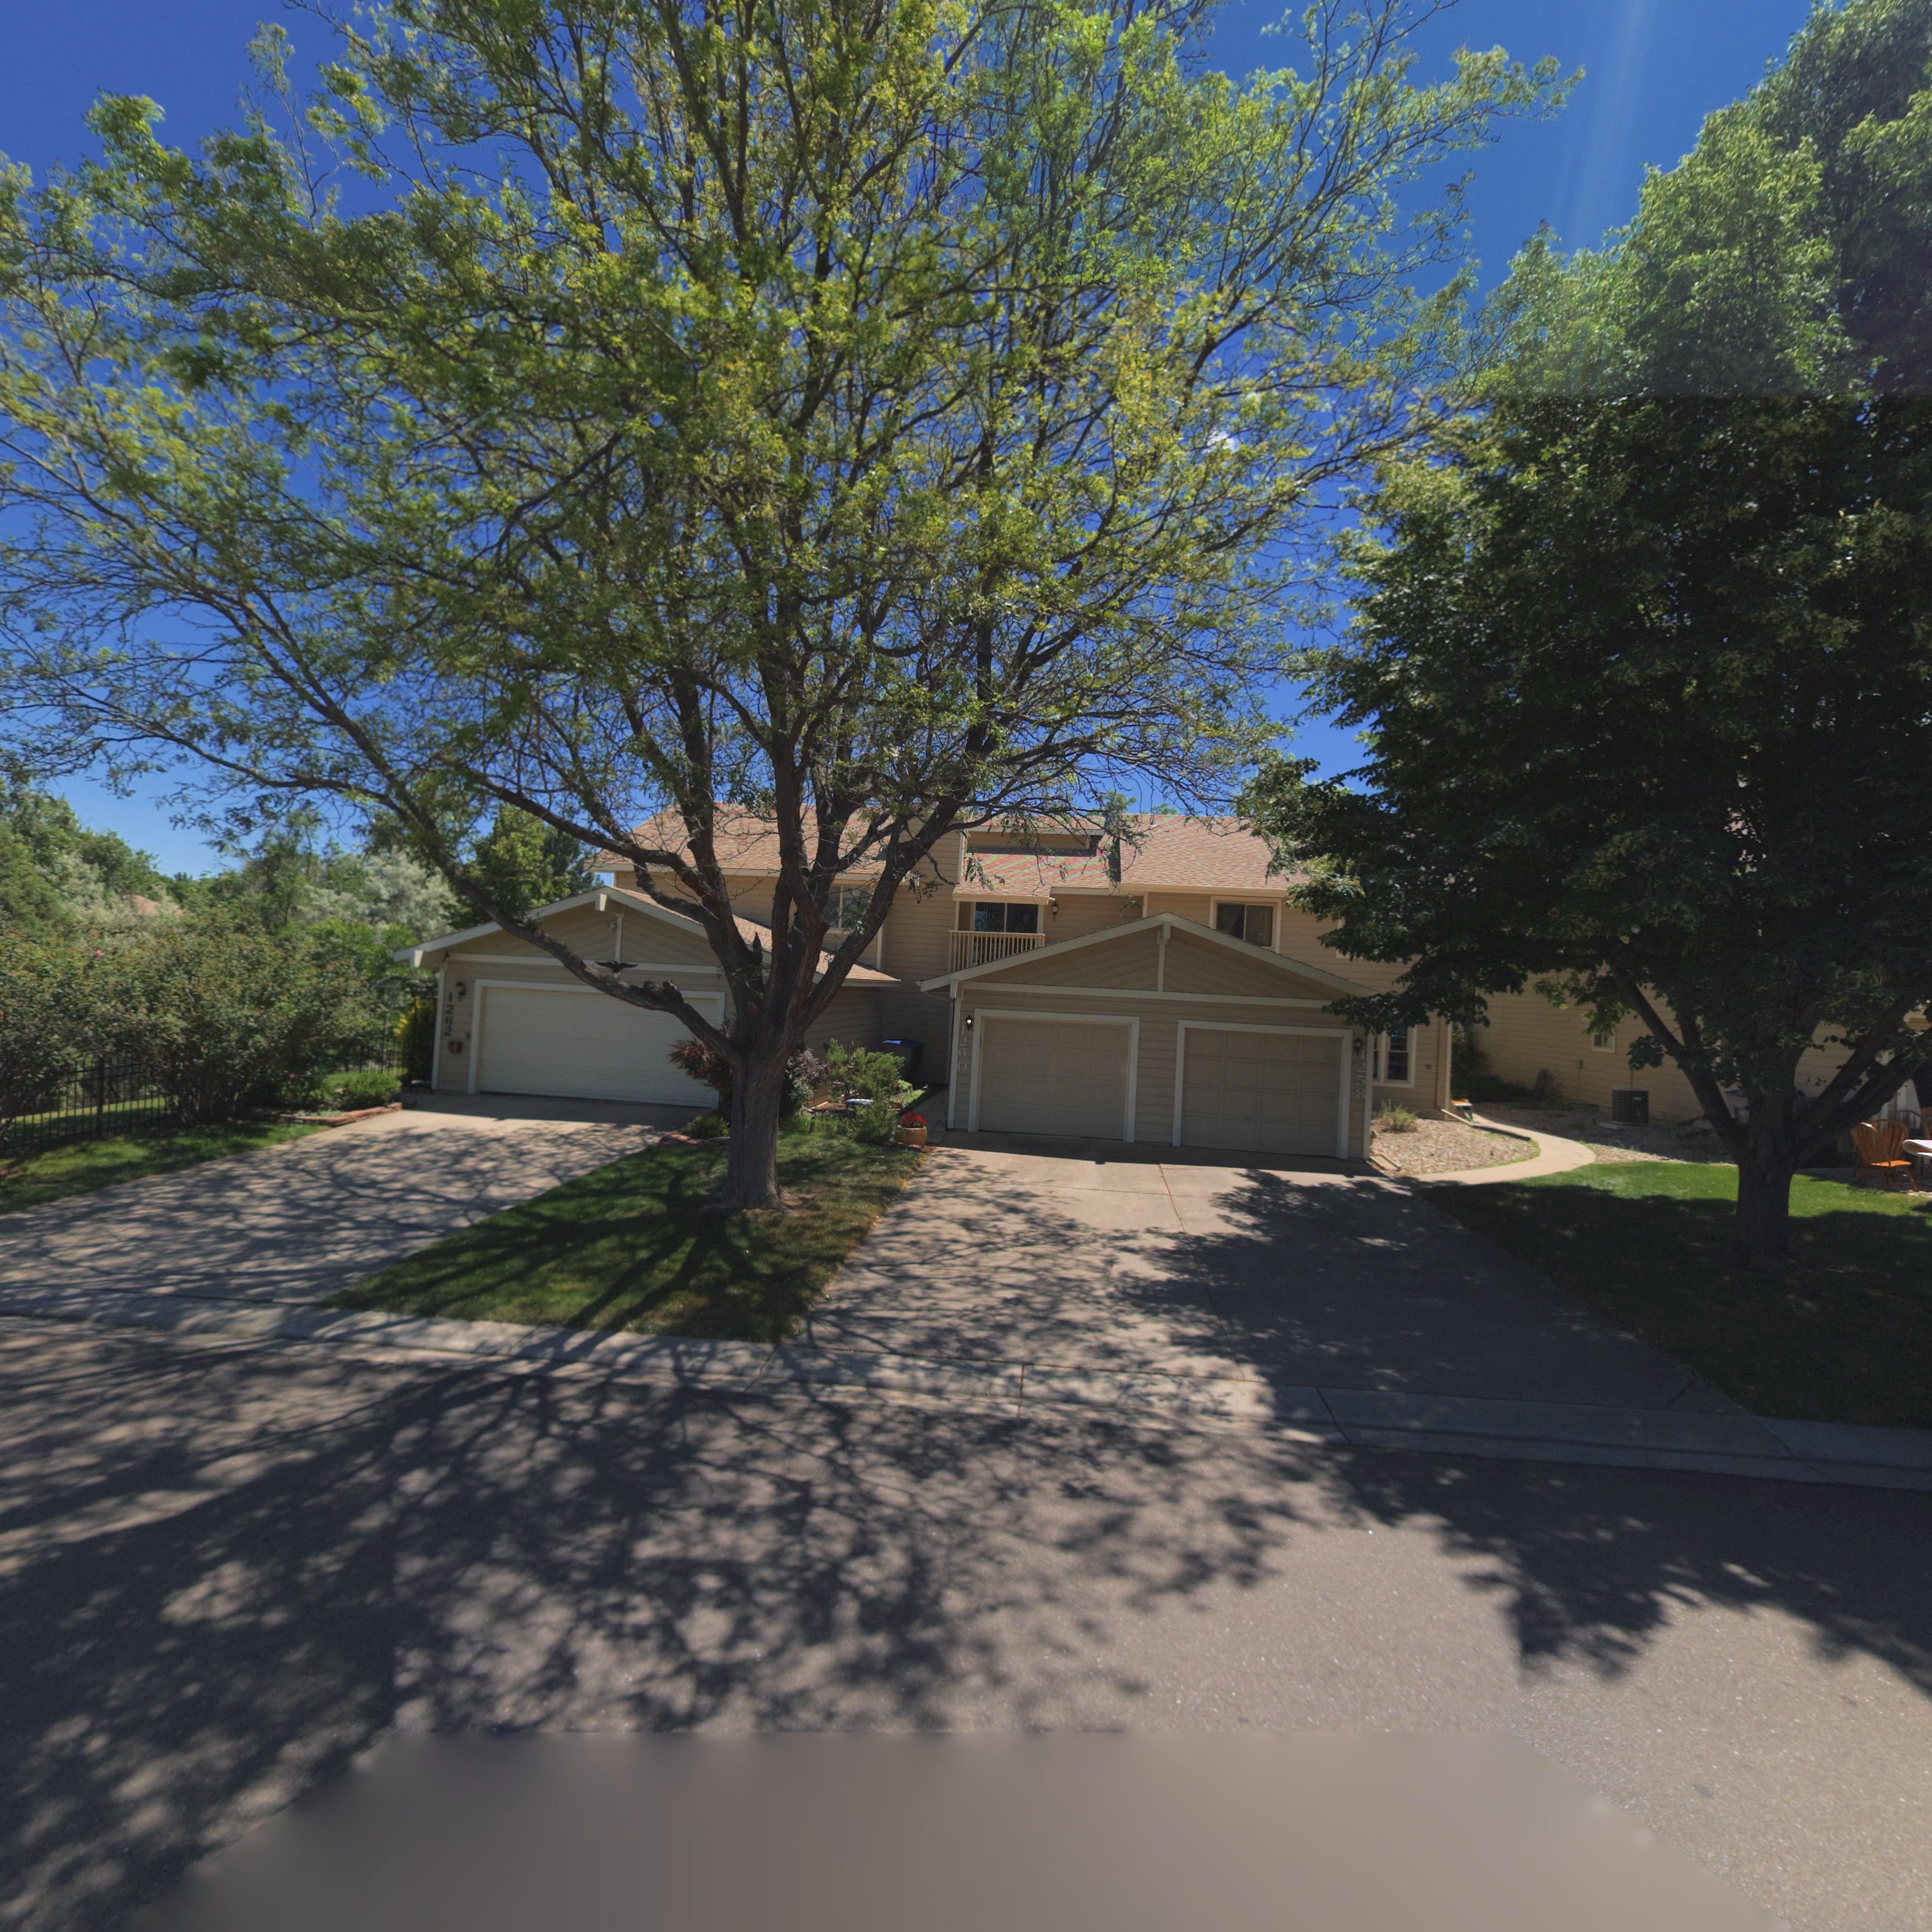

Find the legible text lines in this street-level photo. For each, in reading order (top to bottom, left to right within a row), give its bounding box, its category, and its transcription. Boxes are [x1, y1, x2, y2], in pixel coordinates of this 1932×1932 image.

[443, 991, 454, 1036] StreetNumber: 1262
[957, 1024, 967, 1072] StreetNumber: 1260
[1355, 1048, 1366, 1100] StreetNumber: 1258